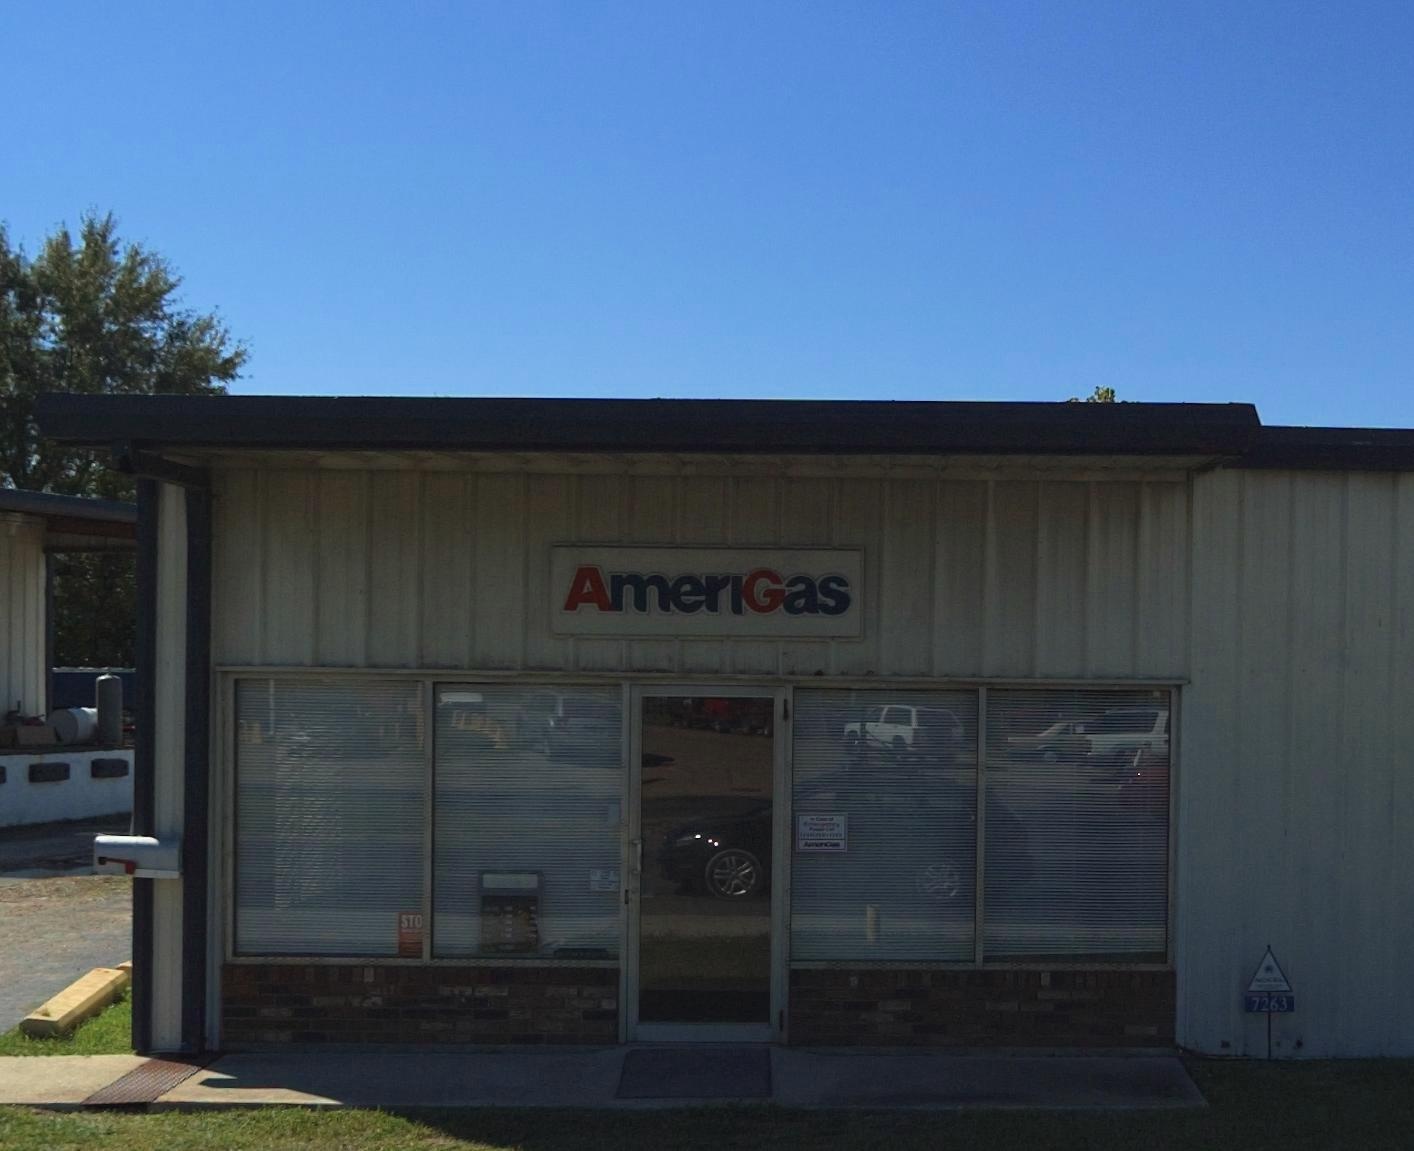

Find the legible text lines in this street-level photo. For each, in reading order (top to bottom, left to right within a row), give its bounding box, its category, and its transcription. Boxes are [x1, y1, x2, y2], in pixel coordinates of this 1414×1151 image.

[560, 565, 853, 616] BusinessName: AmeriGas
[399, 913, 423, 929] None: STO
[1251, 996, 1289, 1012] StreetNumber: 7263